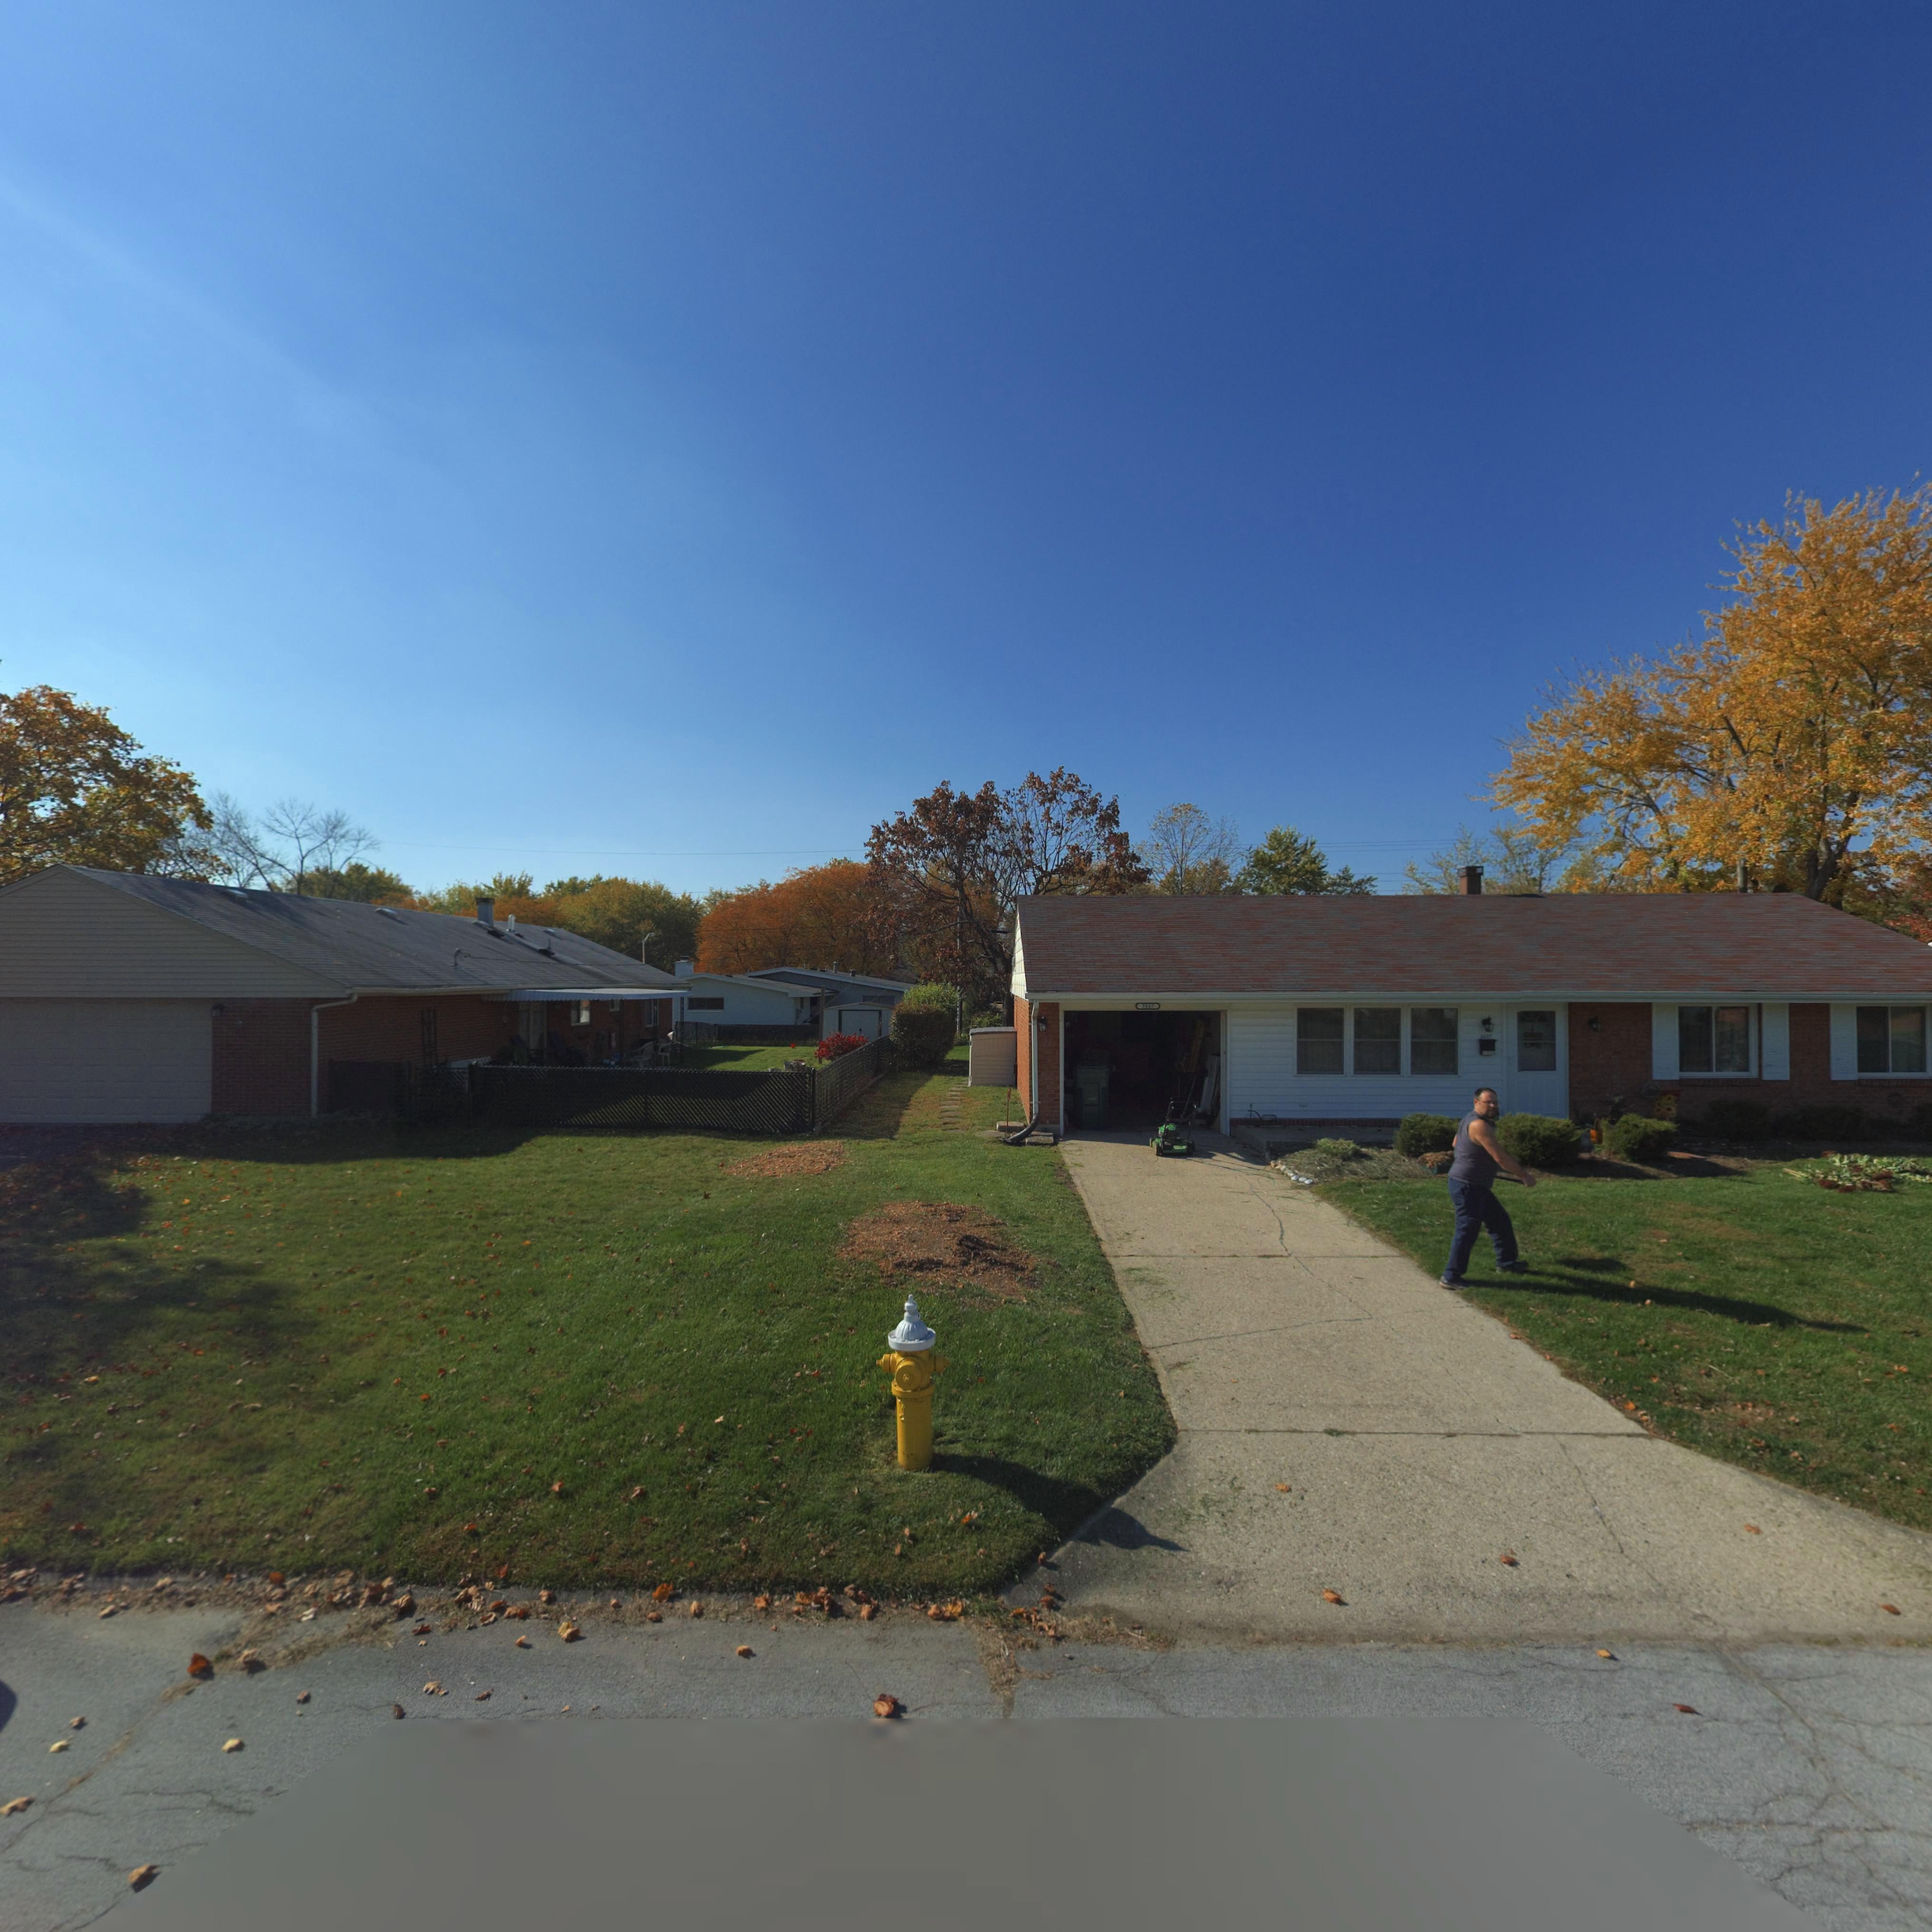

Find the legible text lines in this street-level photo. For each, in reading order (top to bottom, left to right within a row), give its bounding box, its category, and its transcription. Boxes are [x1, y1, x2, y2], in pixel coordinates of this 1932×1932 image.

[1141, 1003, 1155, 1008] StreetNumber: 3*57
[1479, 1034, 1493, 1040] StreetNumber: 3**7